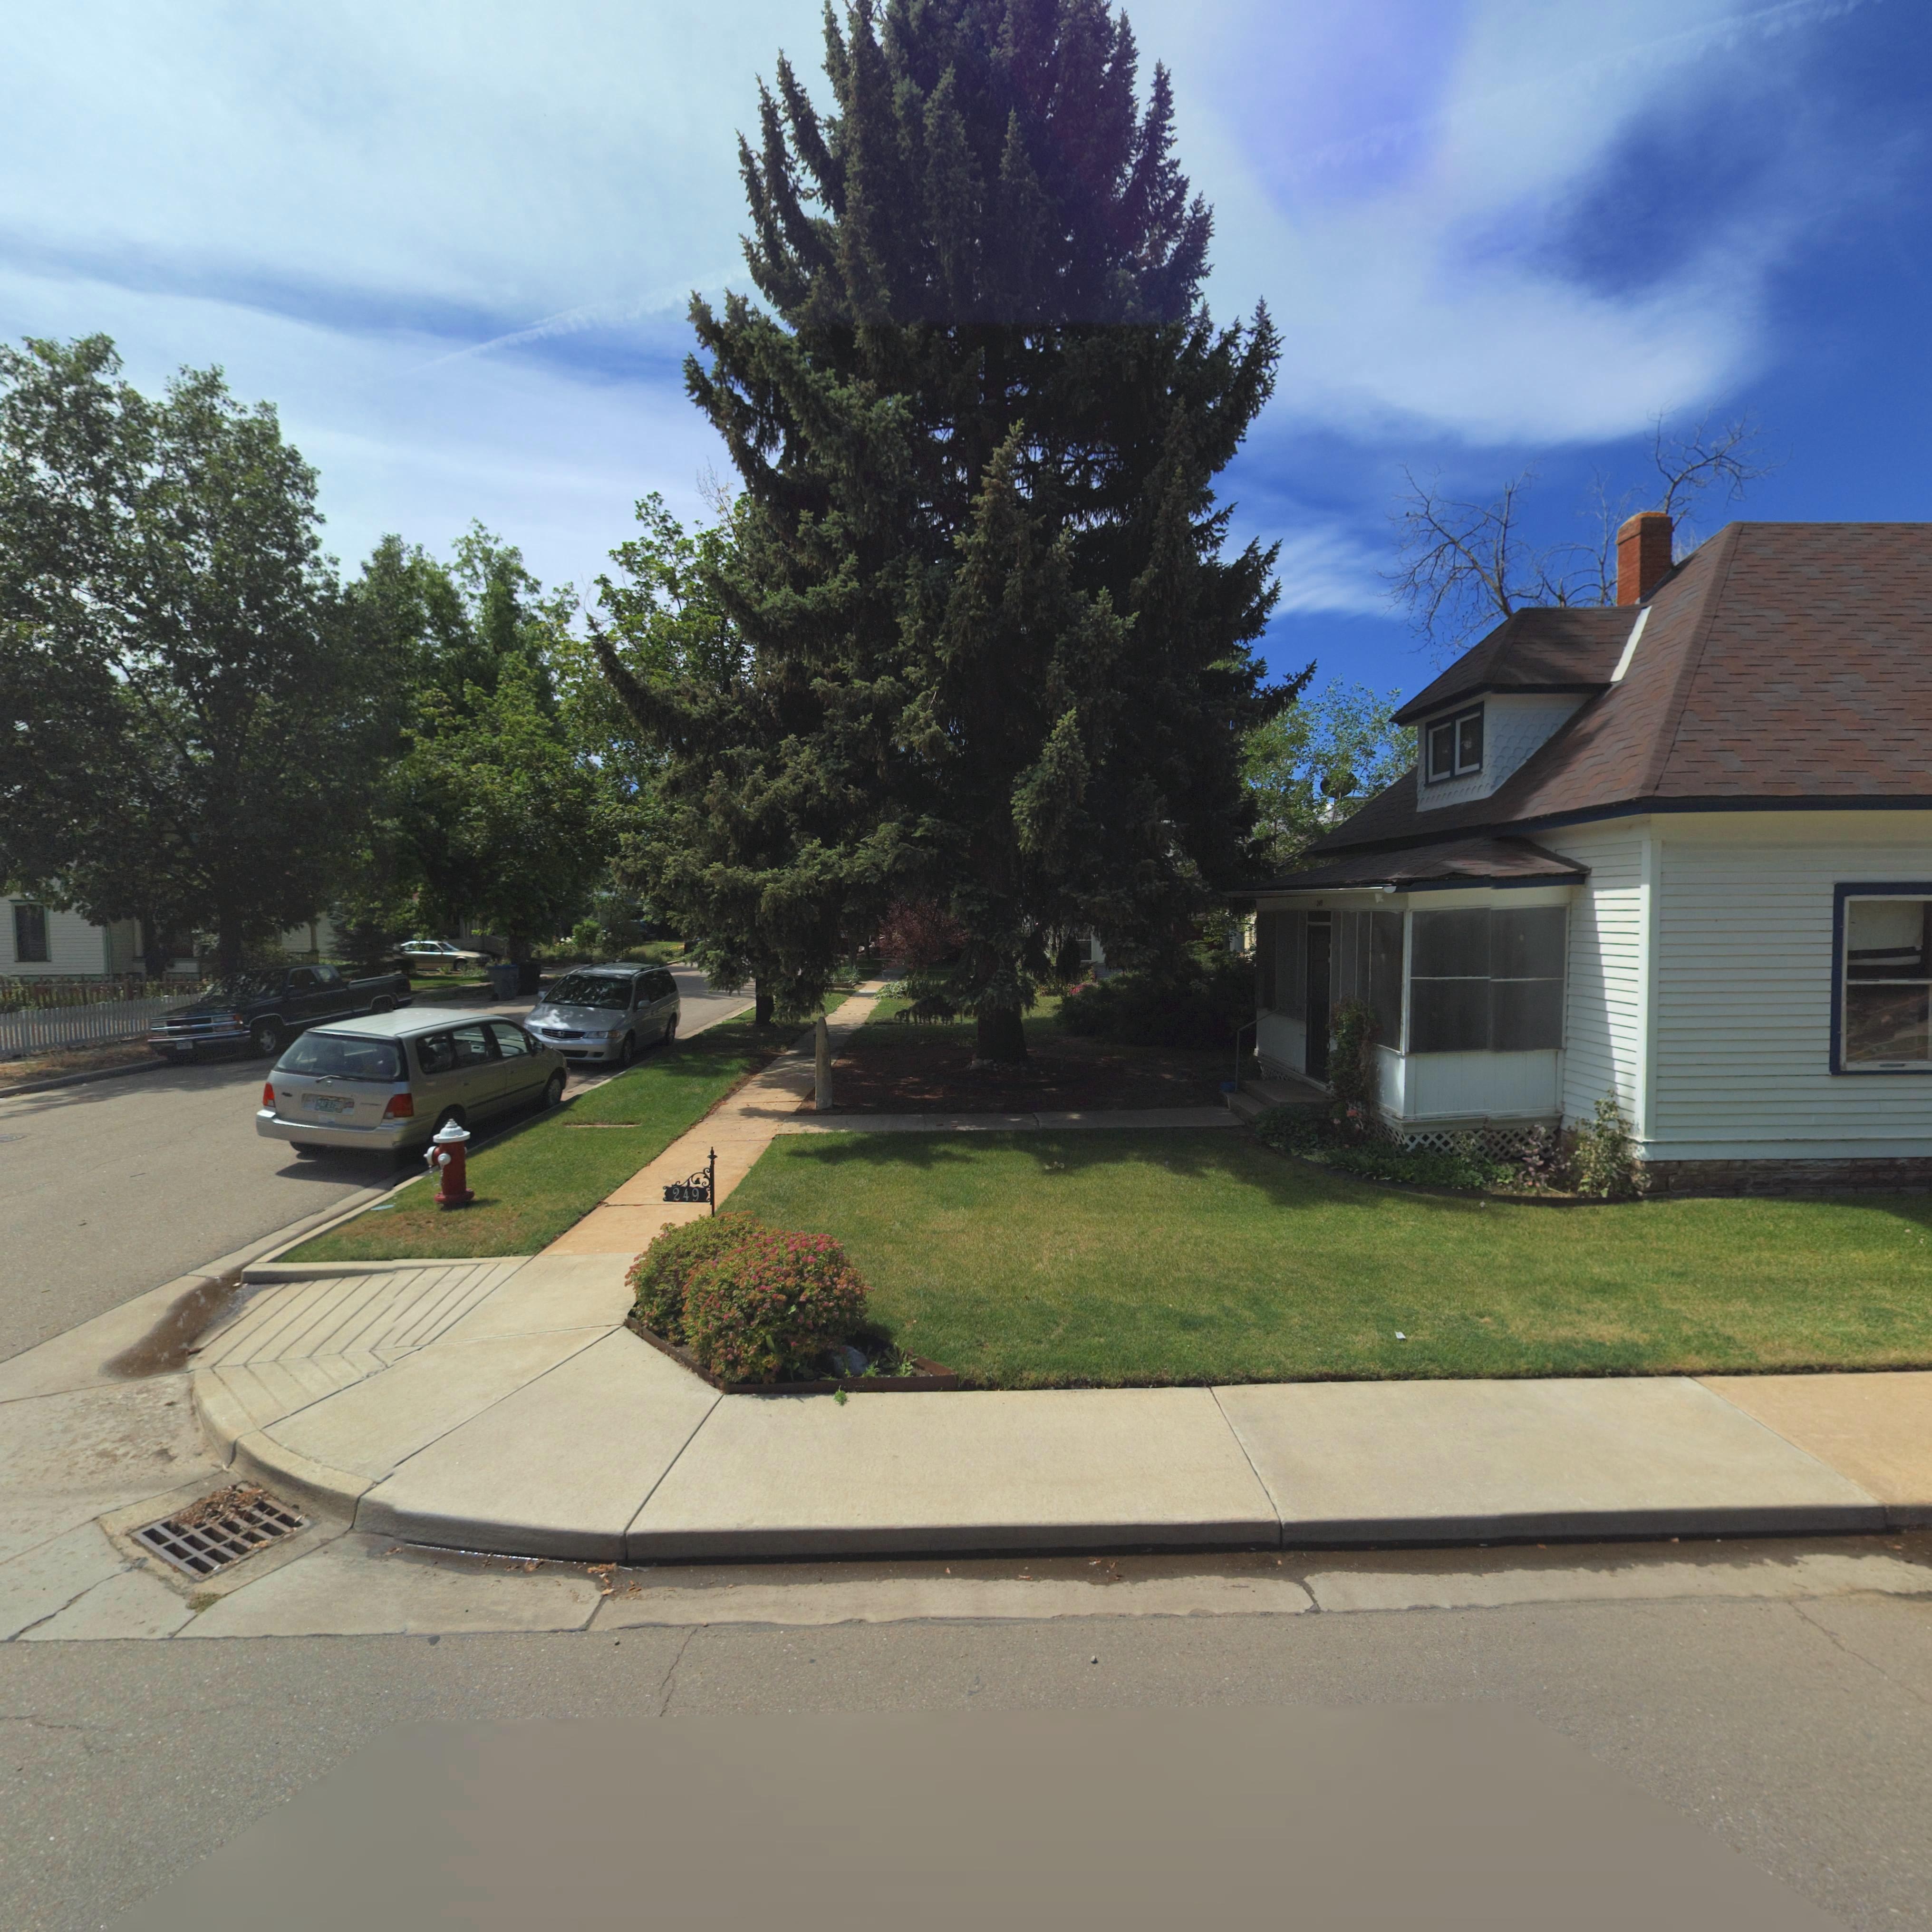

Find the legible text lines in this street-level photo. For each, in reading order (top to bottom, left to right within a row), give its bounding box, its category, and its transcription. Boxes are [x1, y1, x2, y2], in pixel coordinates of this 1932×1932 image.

[1316, 899, 1323, 906] StreetNumber: 24*
[673, 1187, 699, 1201] StreetNumber: 249